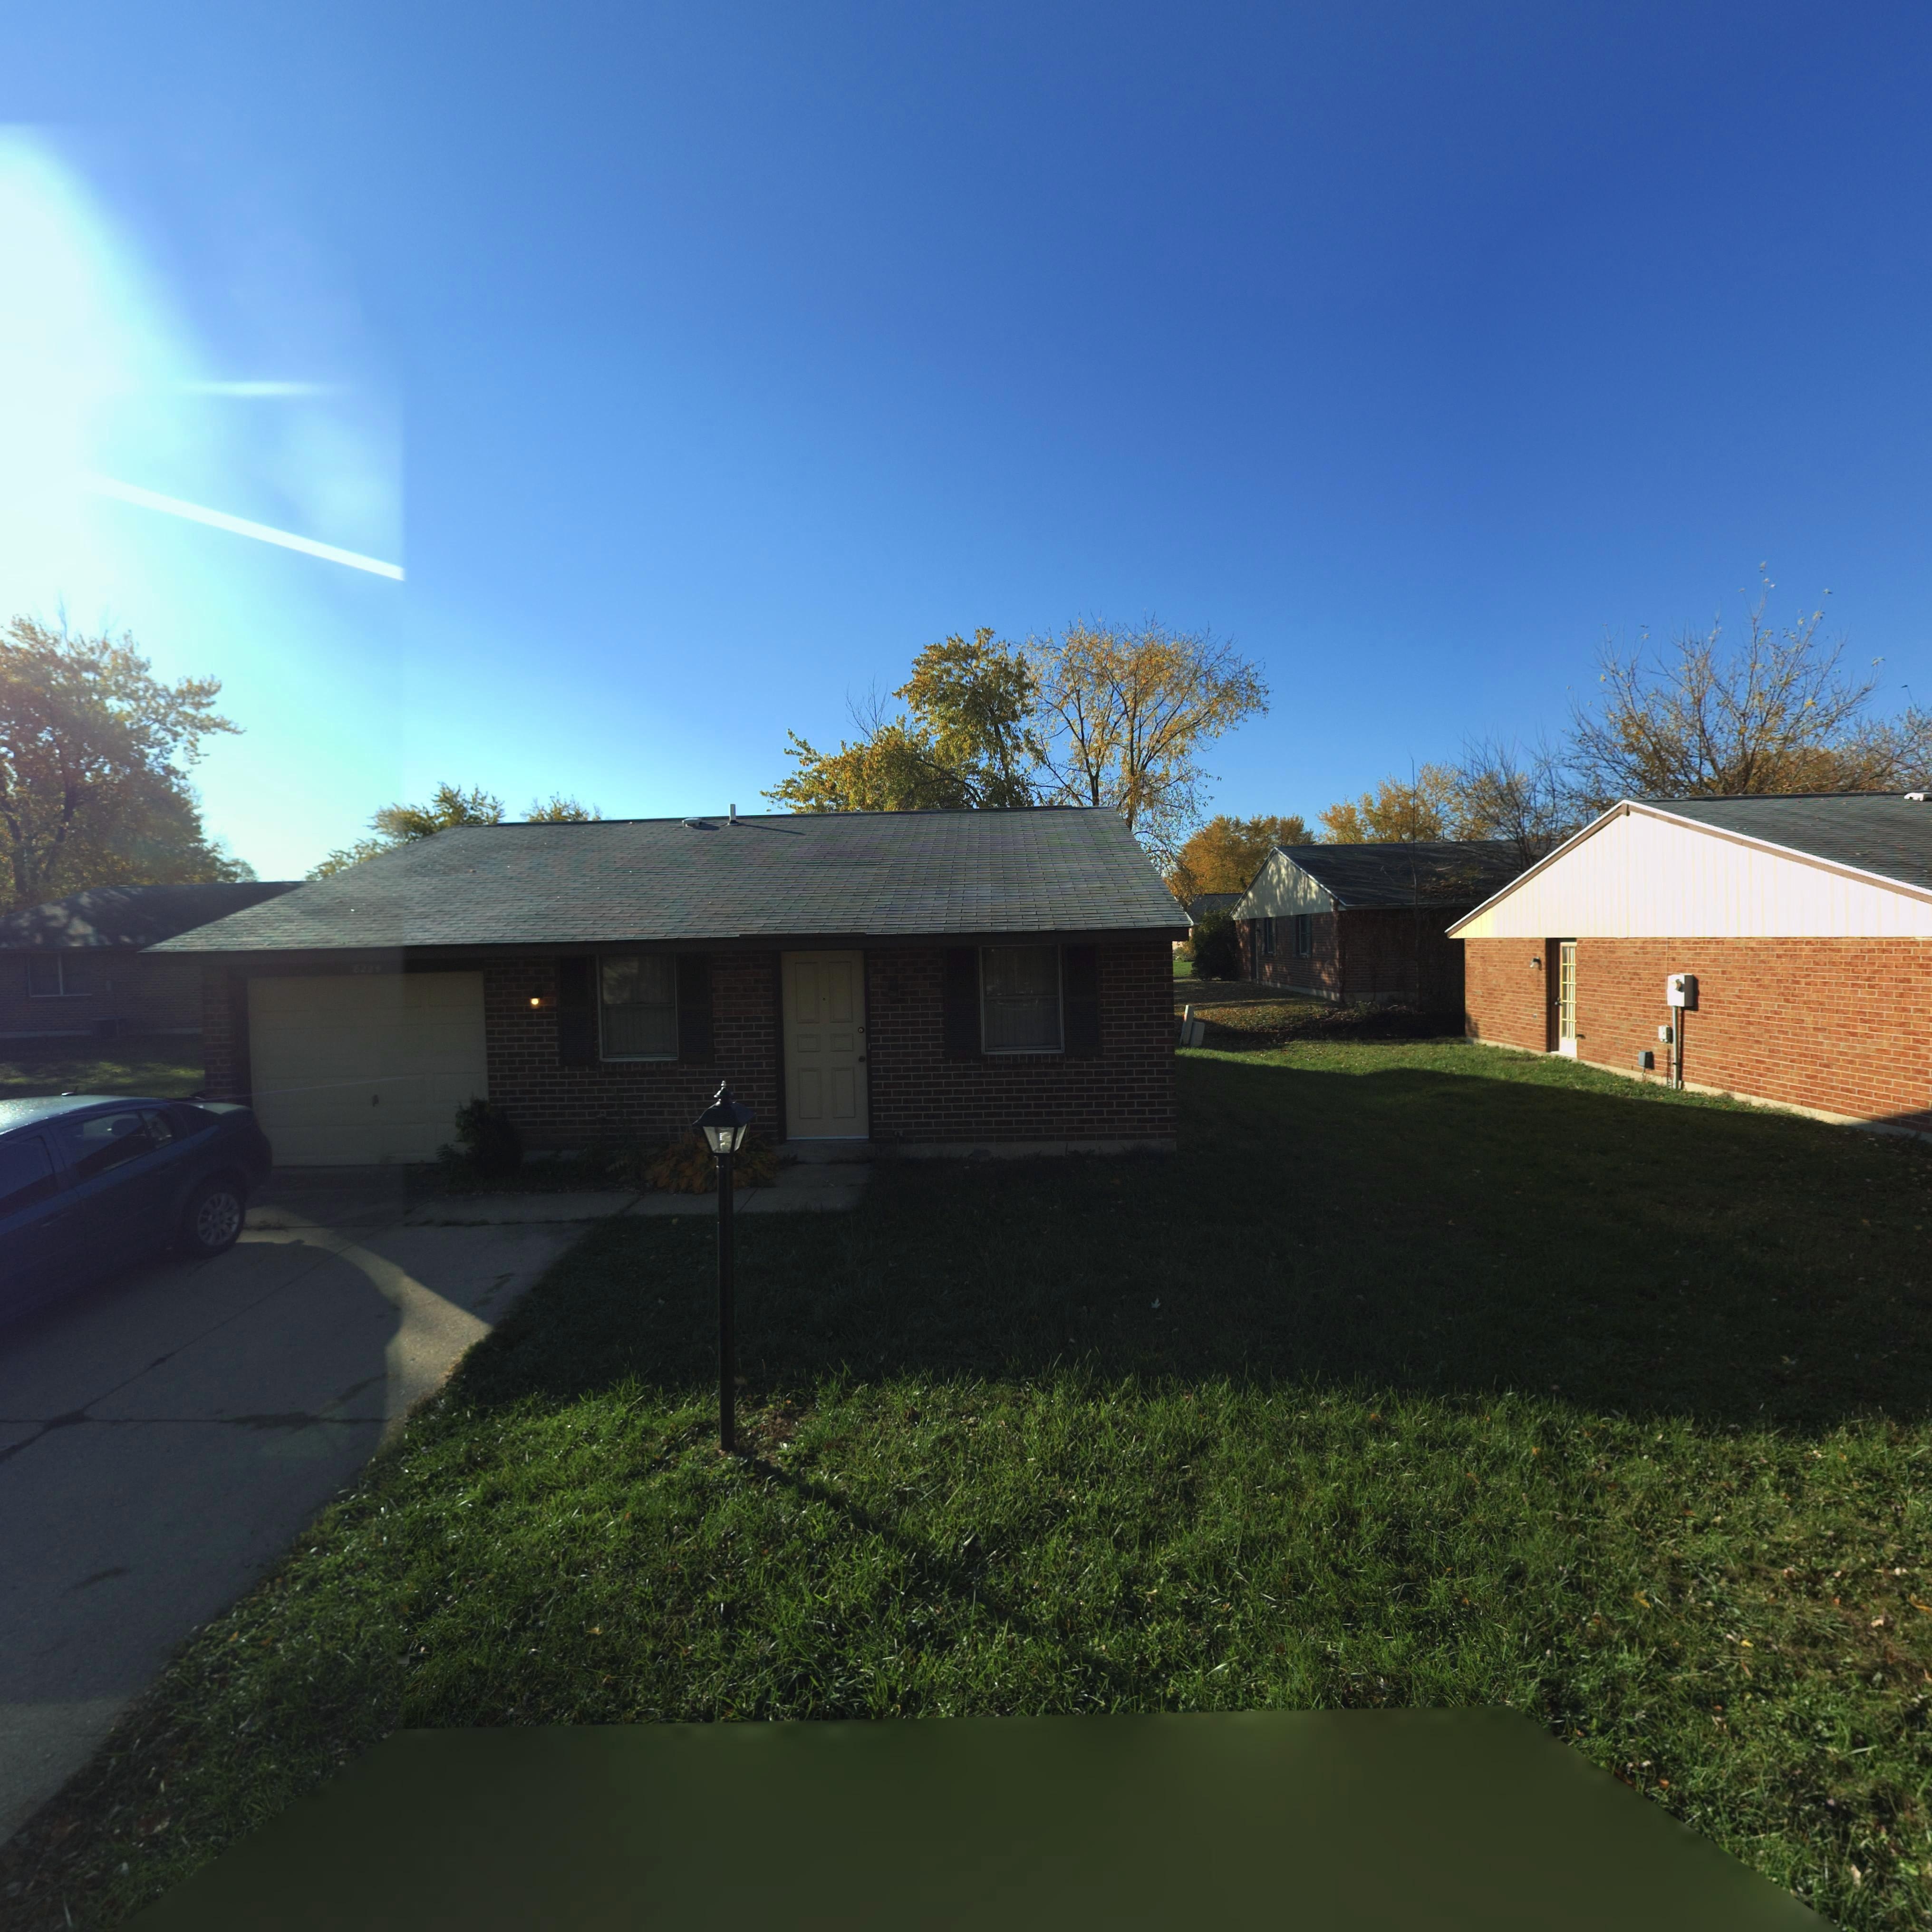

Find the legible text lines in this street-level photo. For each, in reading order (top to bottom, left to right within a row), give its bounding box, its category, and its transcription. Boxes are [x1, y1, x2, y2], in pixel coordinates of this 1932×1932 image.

[352, 963, 383, 974] StreetNumber: 8224